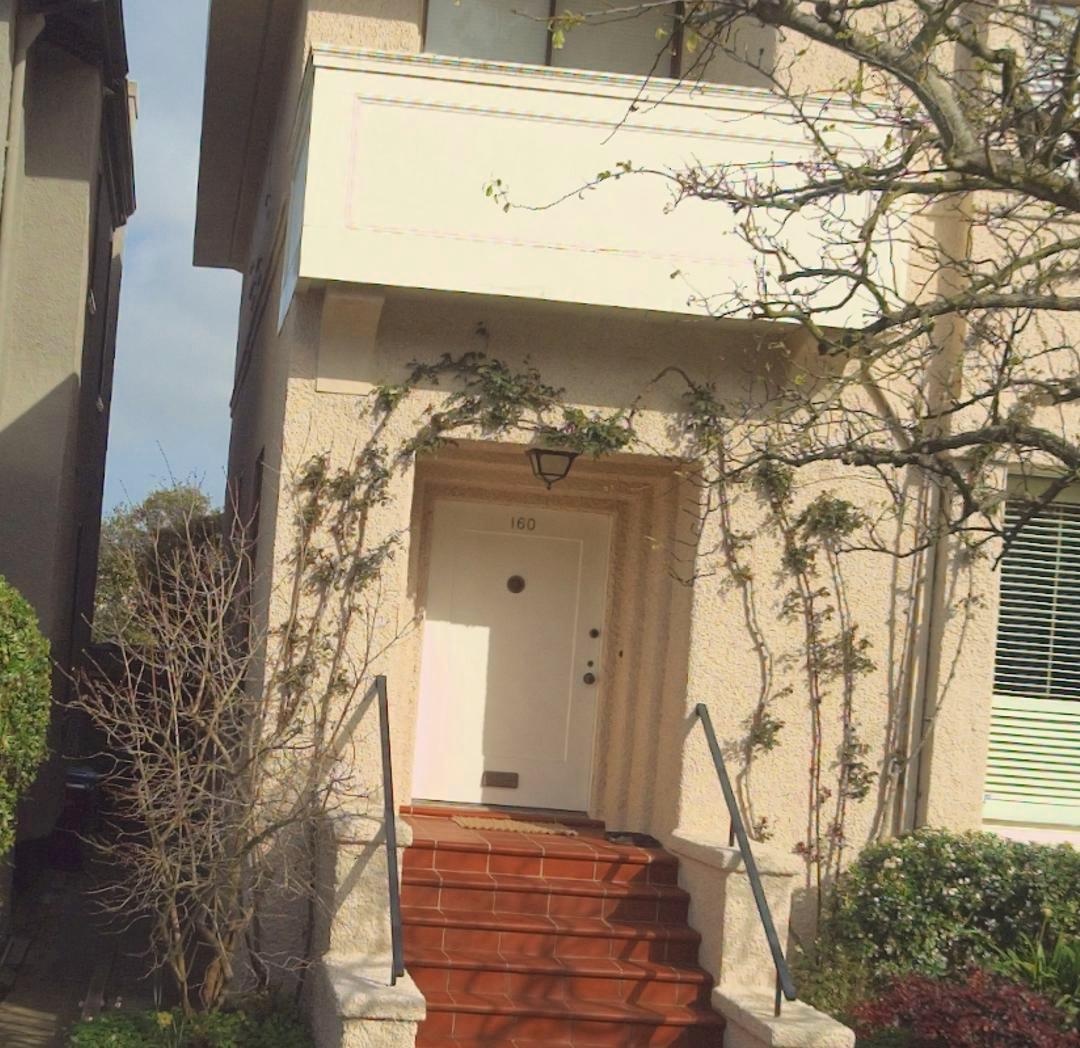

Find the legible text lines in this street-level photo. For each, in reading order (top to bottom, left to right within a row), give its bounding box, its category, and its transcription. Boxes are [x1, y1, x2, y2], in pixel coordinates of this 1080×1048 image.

[508, 515, 537, 532] StreetNumber: 160